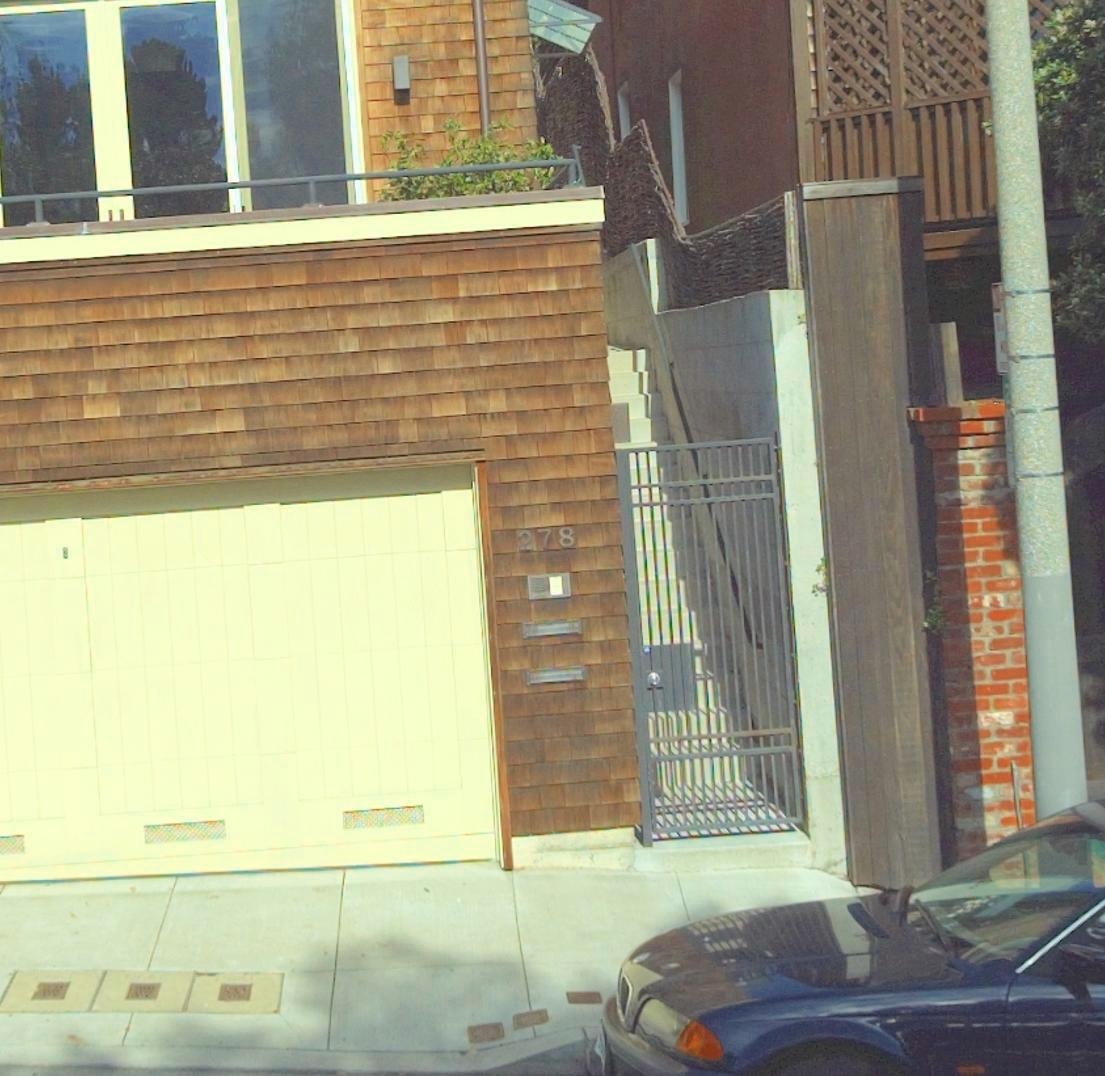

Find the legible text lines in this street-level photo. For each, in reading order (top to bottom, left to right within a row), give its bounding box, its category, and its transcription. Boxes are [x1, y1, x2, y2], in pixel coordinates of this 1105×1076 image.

[516, 526, 576, 552] StreetNumber: 278